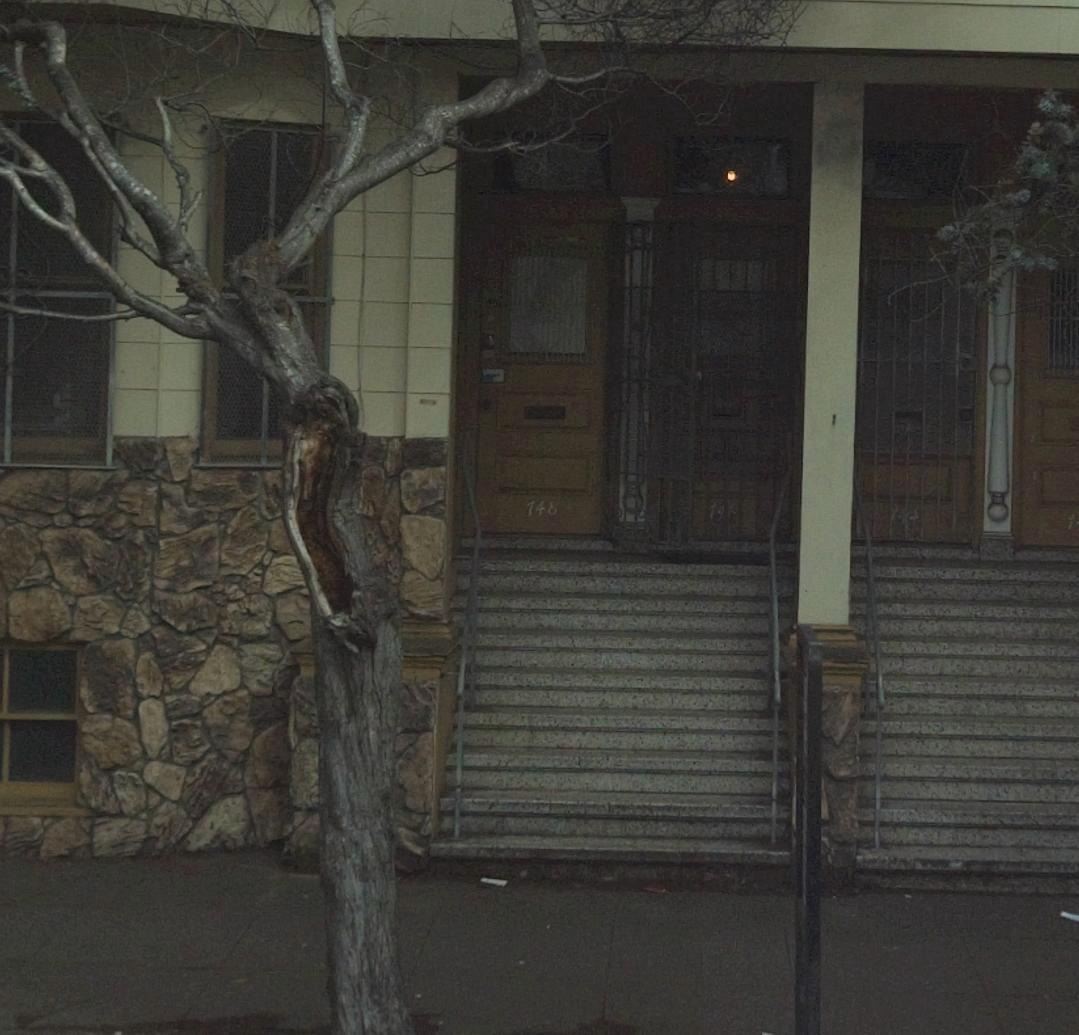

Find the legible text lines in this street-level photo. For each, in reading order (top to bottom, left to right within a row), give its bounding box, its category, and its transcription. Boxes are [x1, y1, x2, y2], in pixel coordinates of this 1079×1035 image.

[525, 499, 559, 517] StreetNumber: 748
[707, 502, 717, 520] StreetNumber: 7
[907, 506, 918, 522] StreetNumber: 4
[1066, 511, 1075, 531] StreetNumber: 7